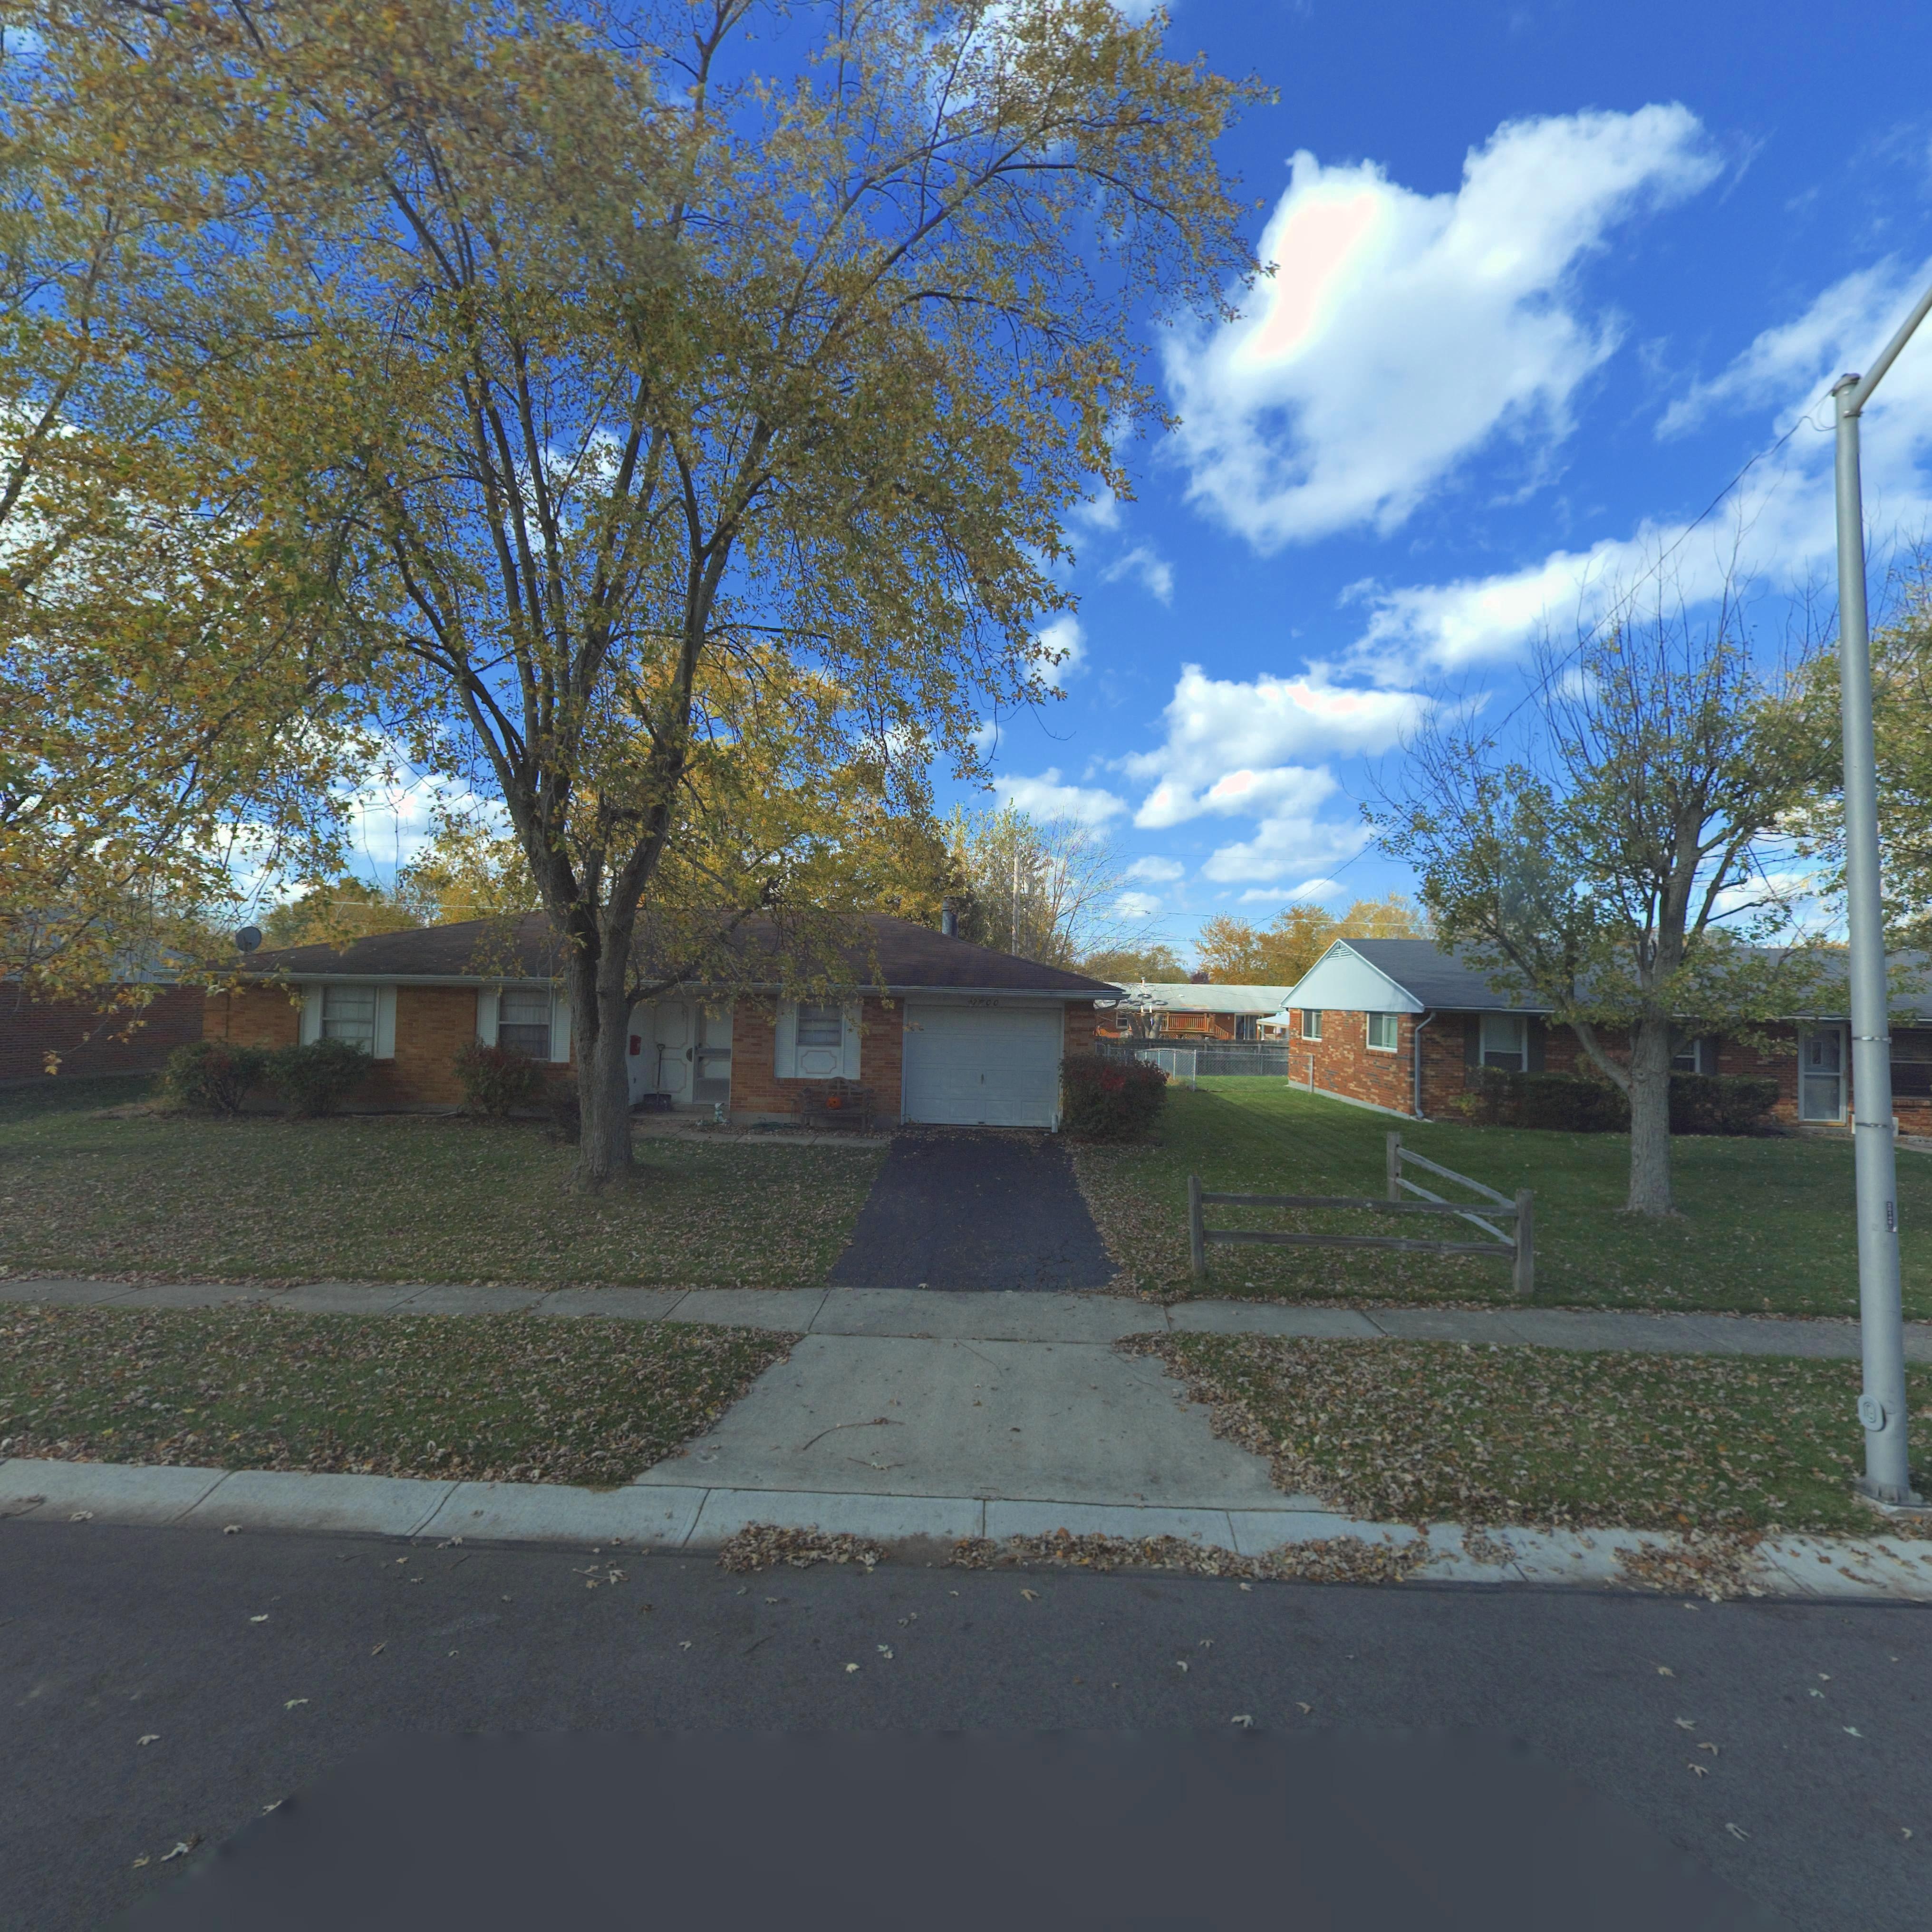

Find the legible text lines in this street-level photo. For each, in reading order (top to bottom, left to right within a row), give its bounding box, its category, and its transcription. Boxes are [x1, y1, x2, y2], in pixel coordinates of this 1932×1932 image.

[972, 998, 999, 1006] StreetNumber: 7*00